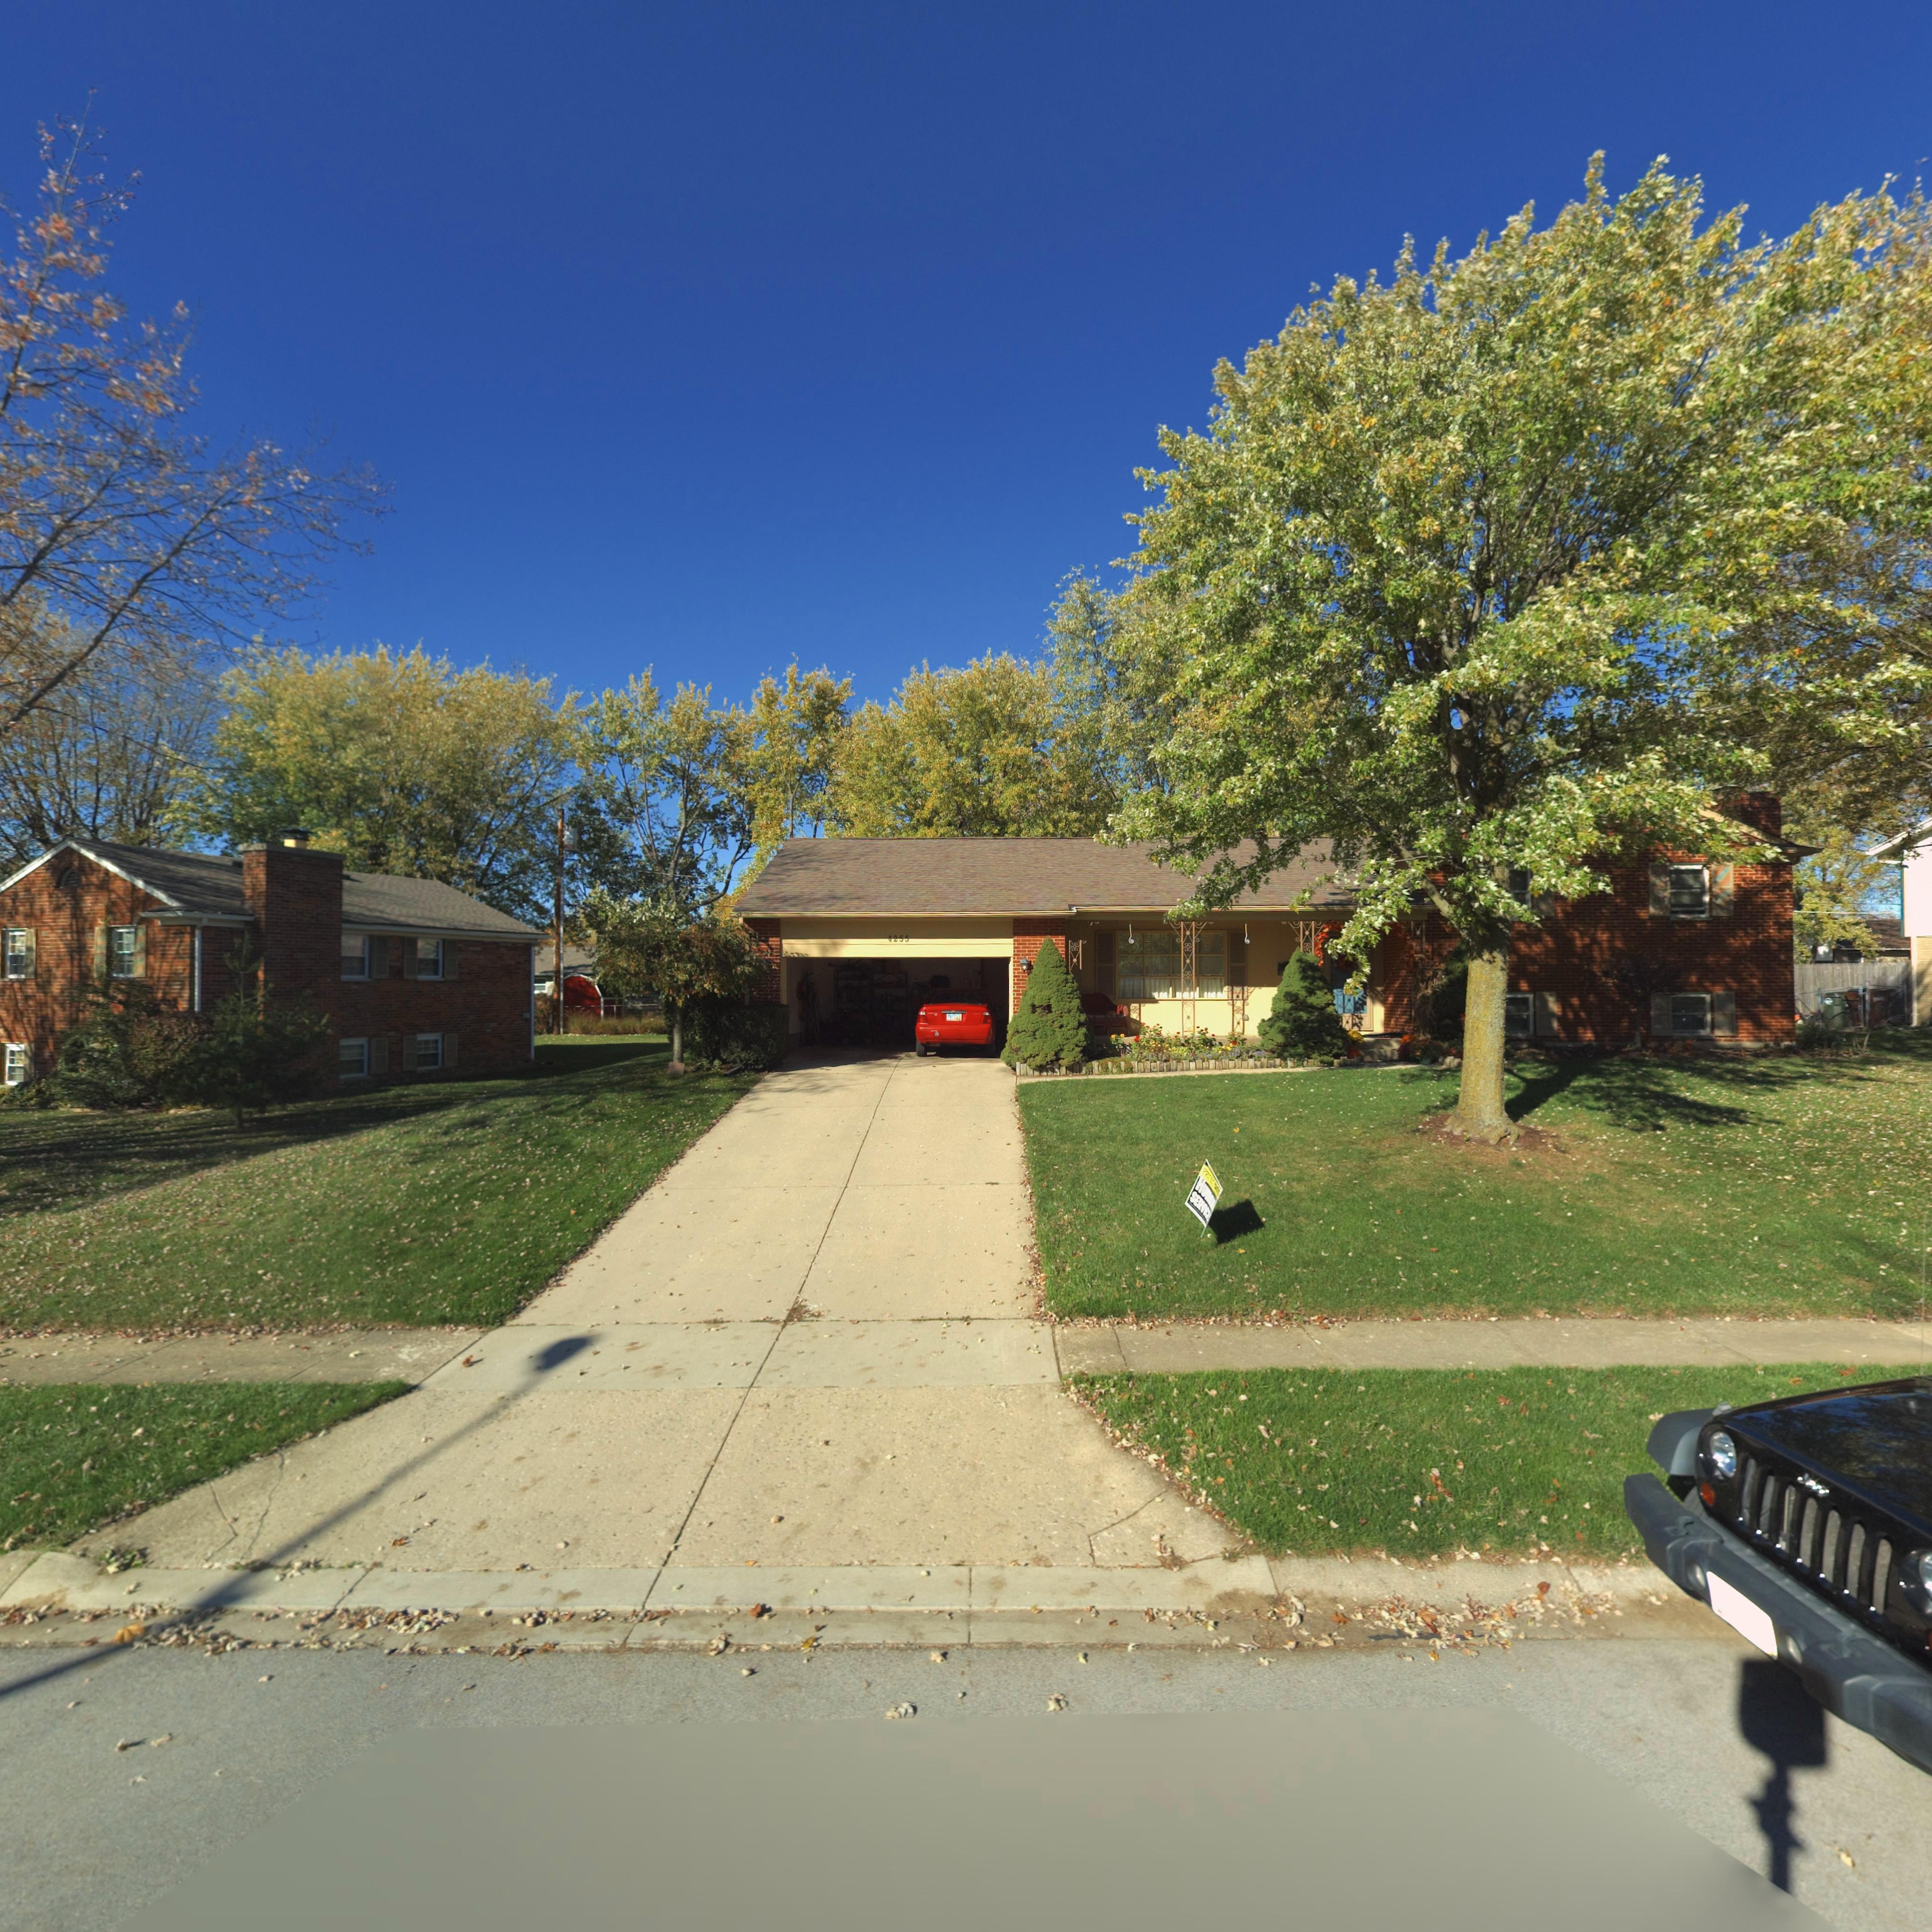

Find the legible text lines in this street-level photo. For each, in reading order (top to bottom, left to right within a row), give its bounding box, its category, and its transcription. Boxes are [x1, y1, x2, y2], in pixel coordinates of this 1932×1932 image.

[887, 934, 910, 943] StreetNumber: 4255
[1194, 1175, 1209, 1199] None: Hu
[1188, 1189, 1202, 1208] None: SE